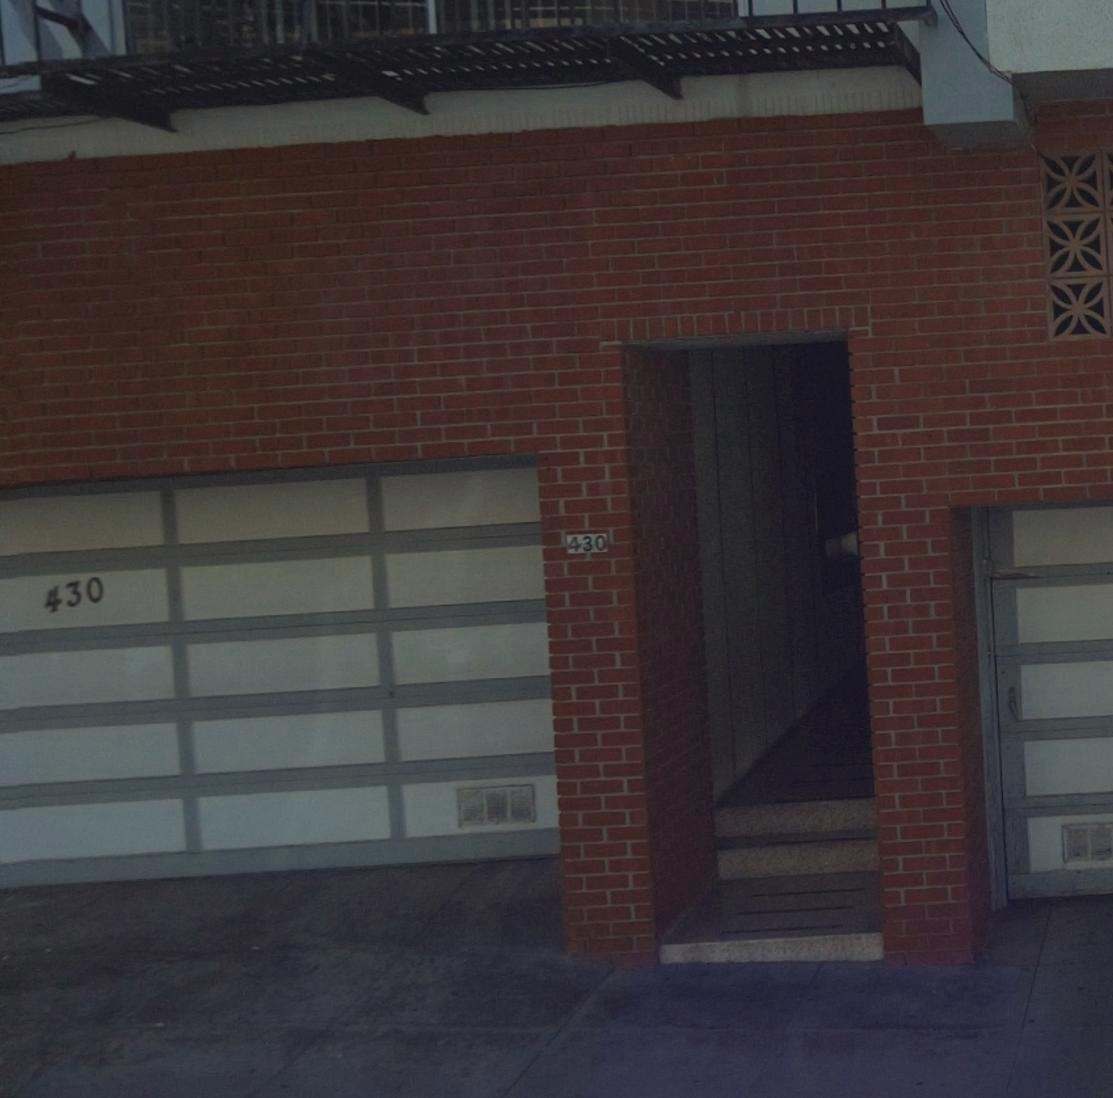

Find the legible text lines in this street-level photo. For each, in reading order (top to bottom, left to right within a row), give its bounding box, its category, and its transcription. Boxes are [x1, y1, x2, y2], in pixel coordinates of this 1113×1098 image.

[567, 534, 609, 553] StreetNumber: 430
[41, 570, 110, 620] StreetNumber: 430